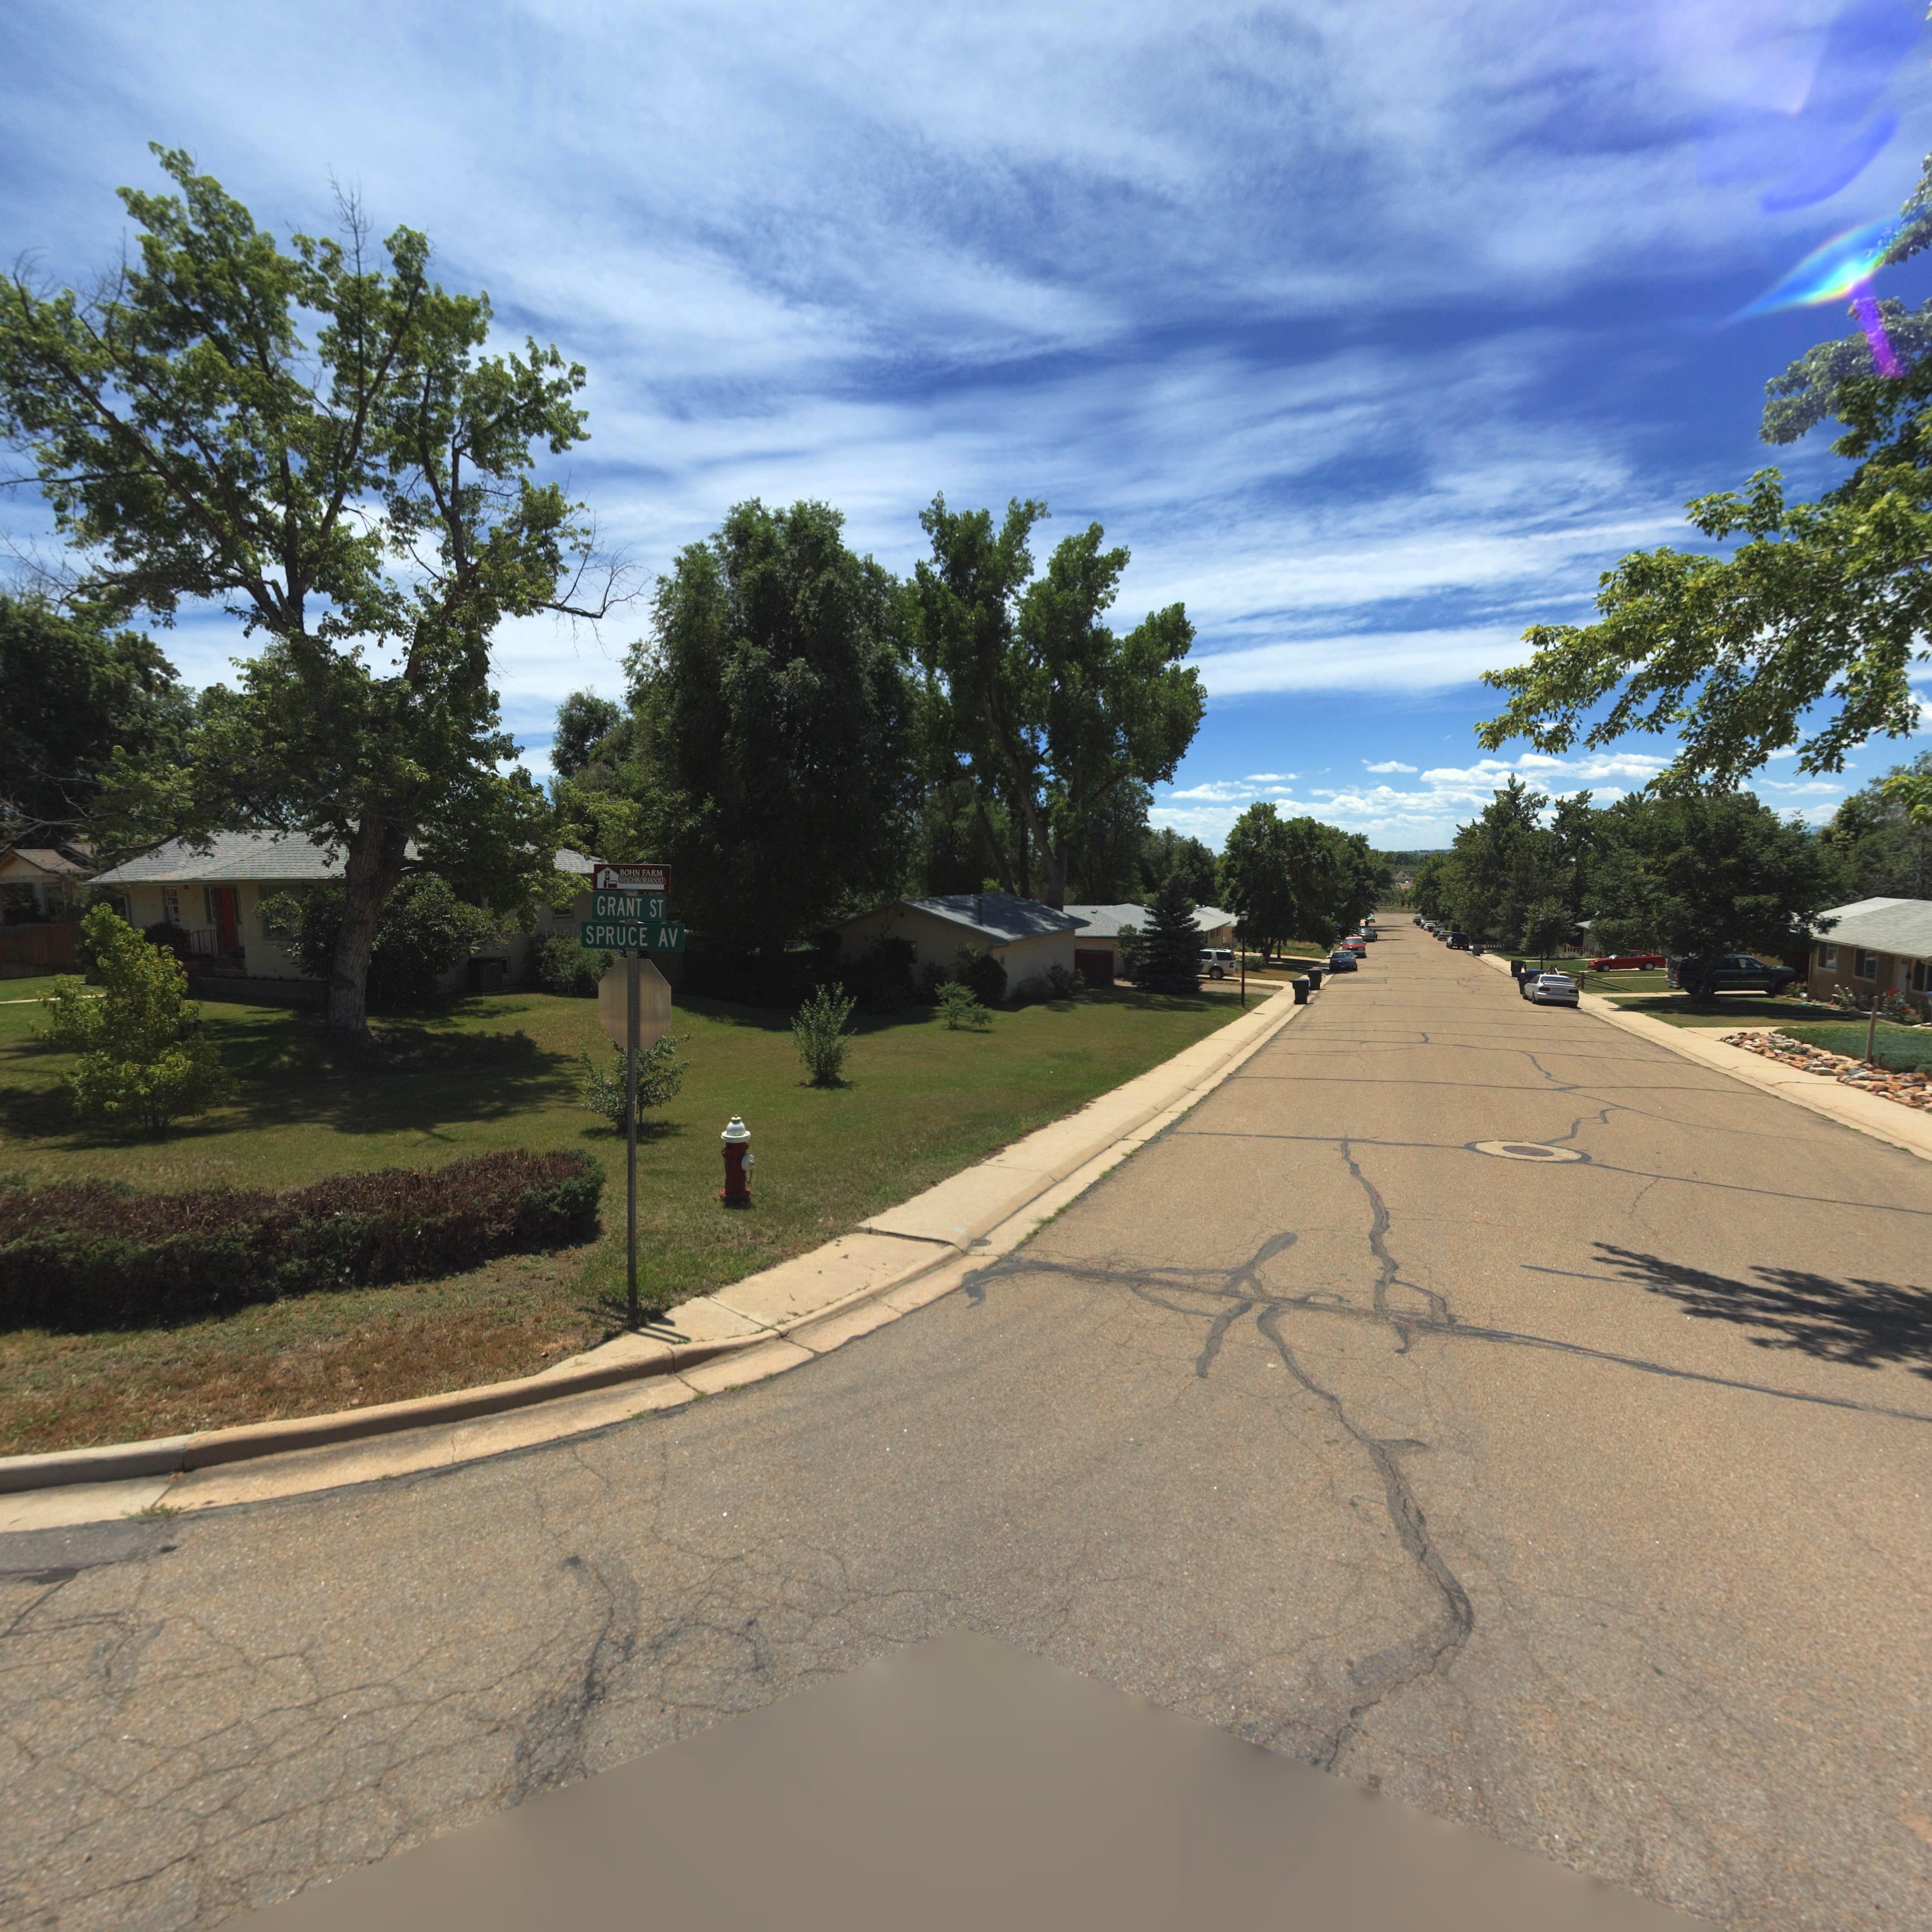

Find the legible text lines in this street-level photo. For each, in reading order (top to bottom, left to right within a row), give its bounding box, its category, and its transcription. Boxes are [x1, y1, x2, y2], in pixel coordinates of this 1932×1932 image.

[596, 895, 663, 918] StreetName: GRANT ST
[585, 925, 678, 947] StreetName: SPRUCE AV